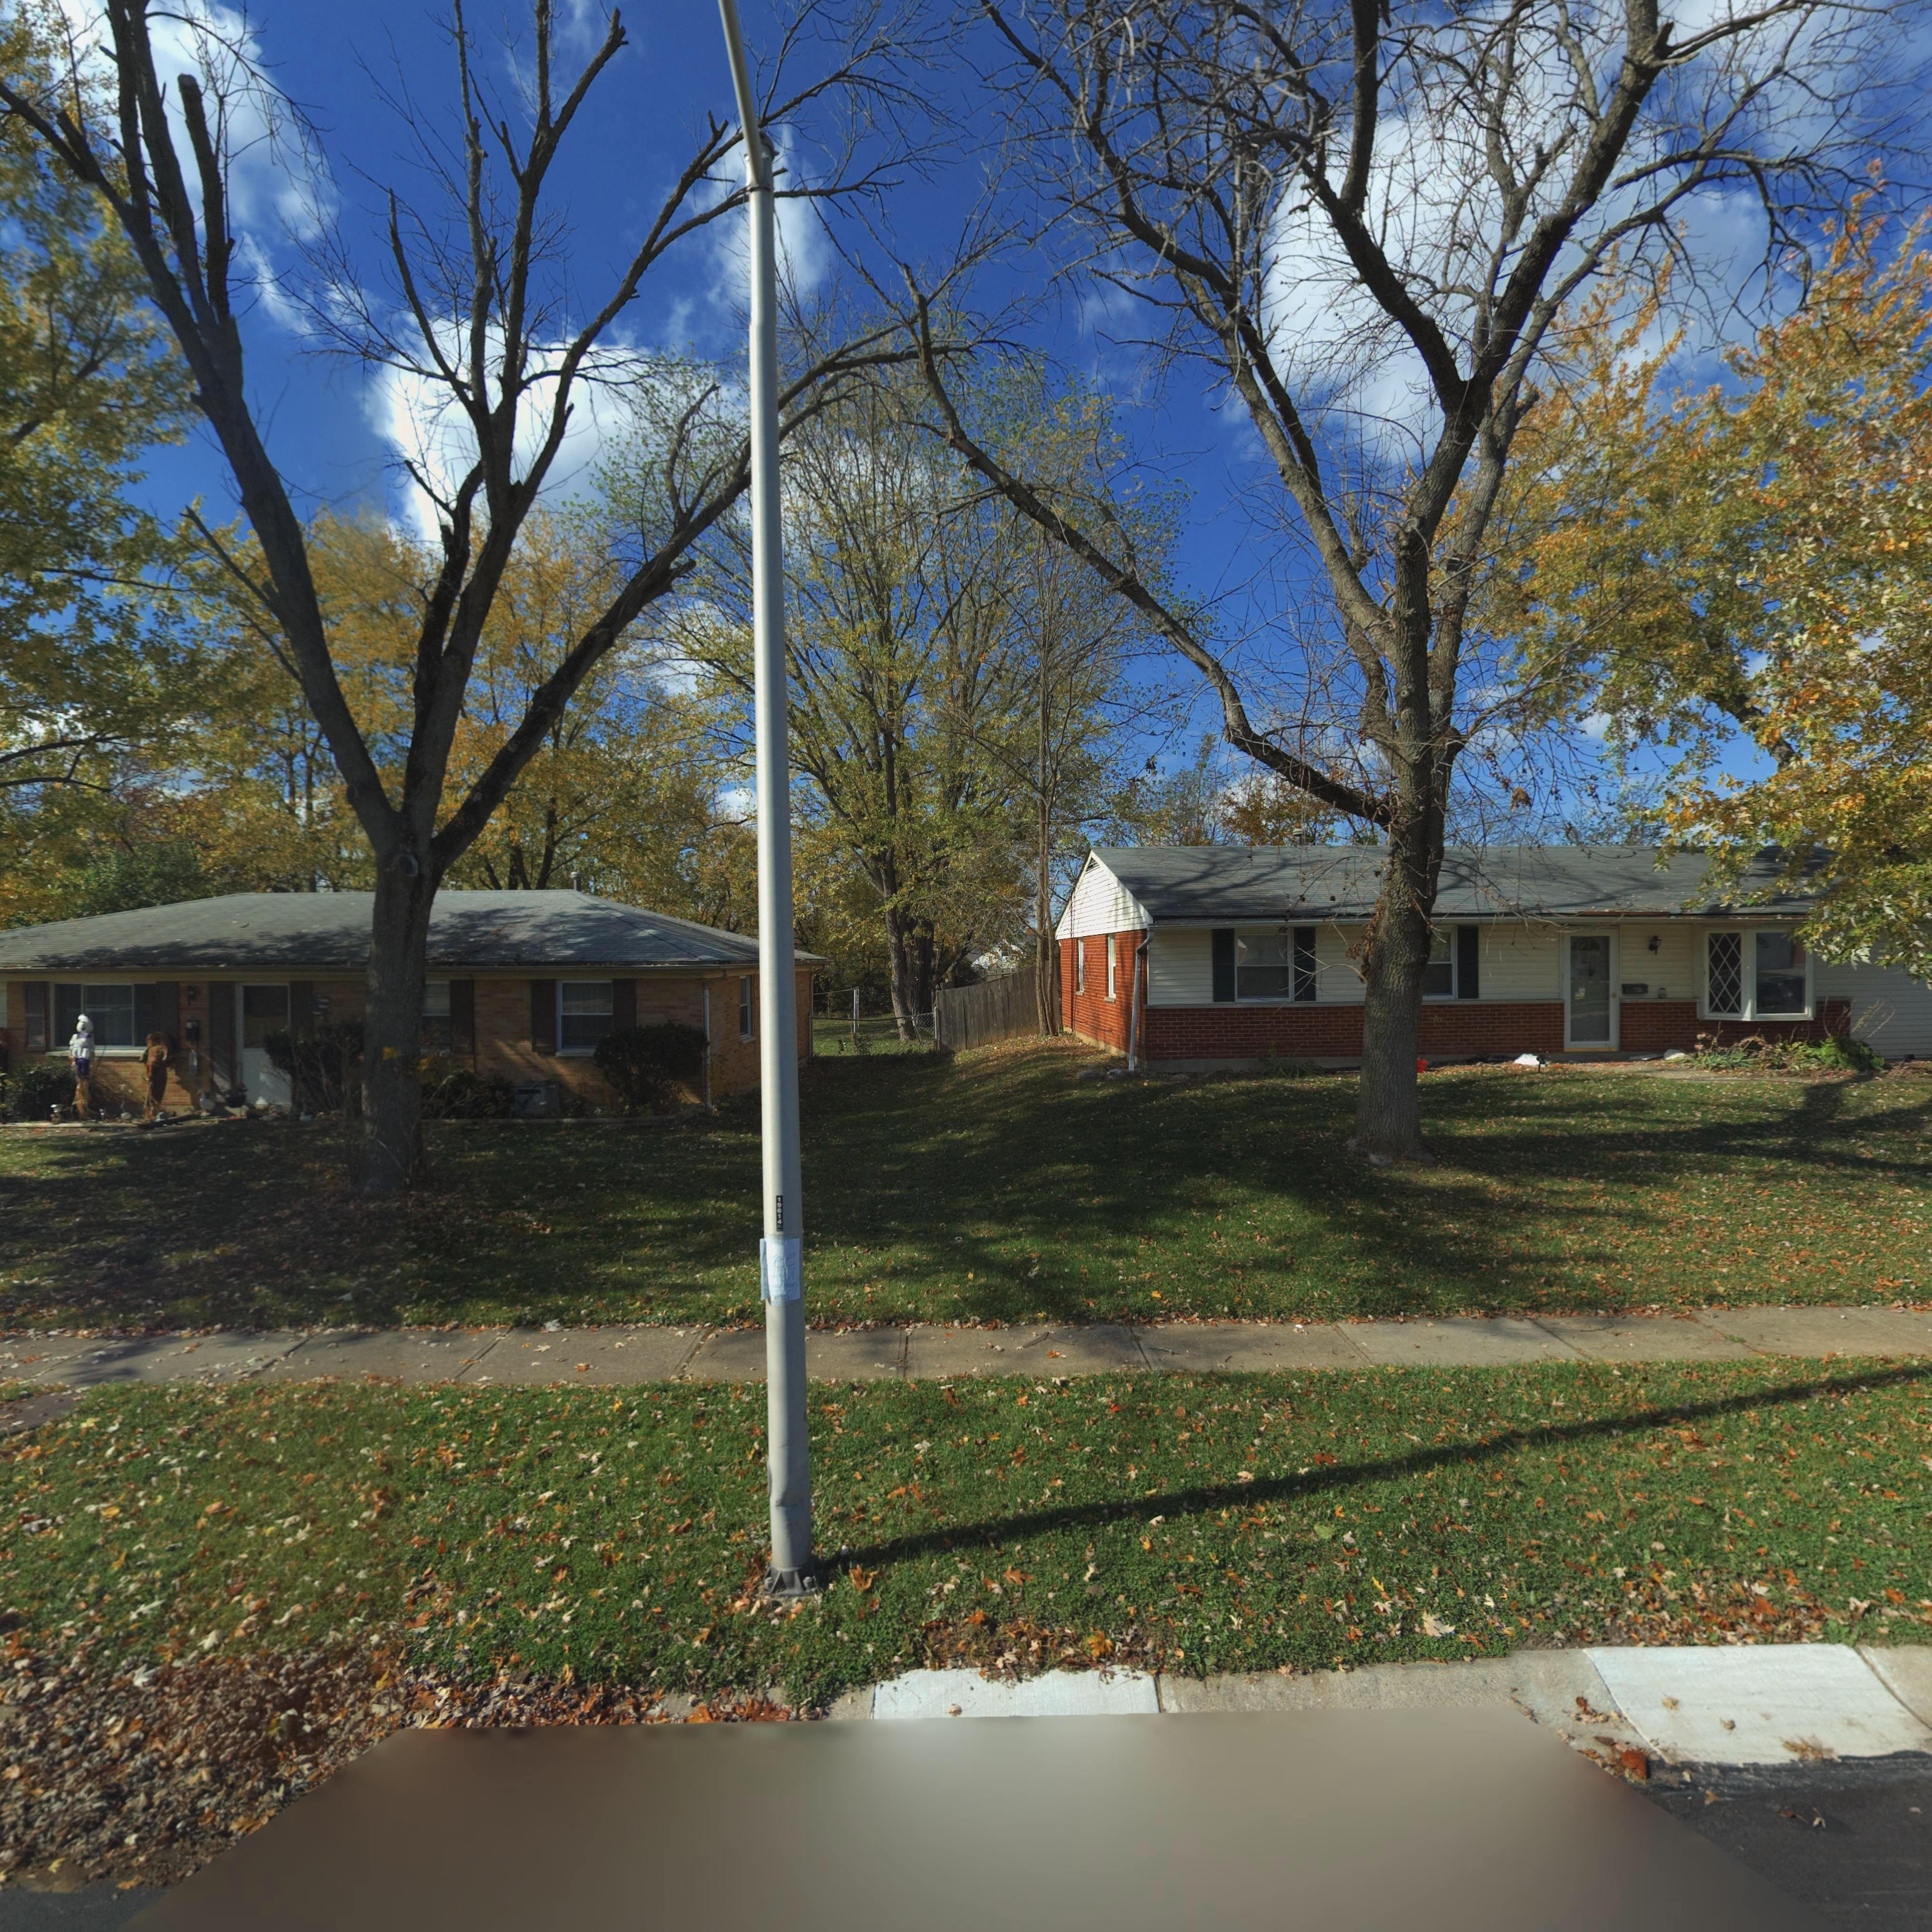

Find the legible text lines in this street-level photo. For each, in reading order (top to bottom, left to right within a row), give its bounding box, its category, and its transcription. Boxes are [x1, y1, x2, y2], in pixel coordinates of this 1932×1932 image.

[1633, 986, 1643, 993] StreetNumber: 7***